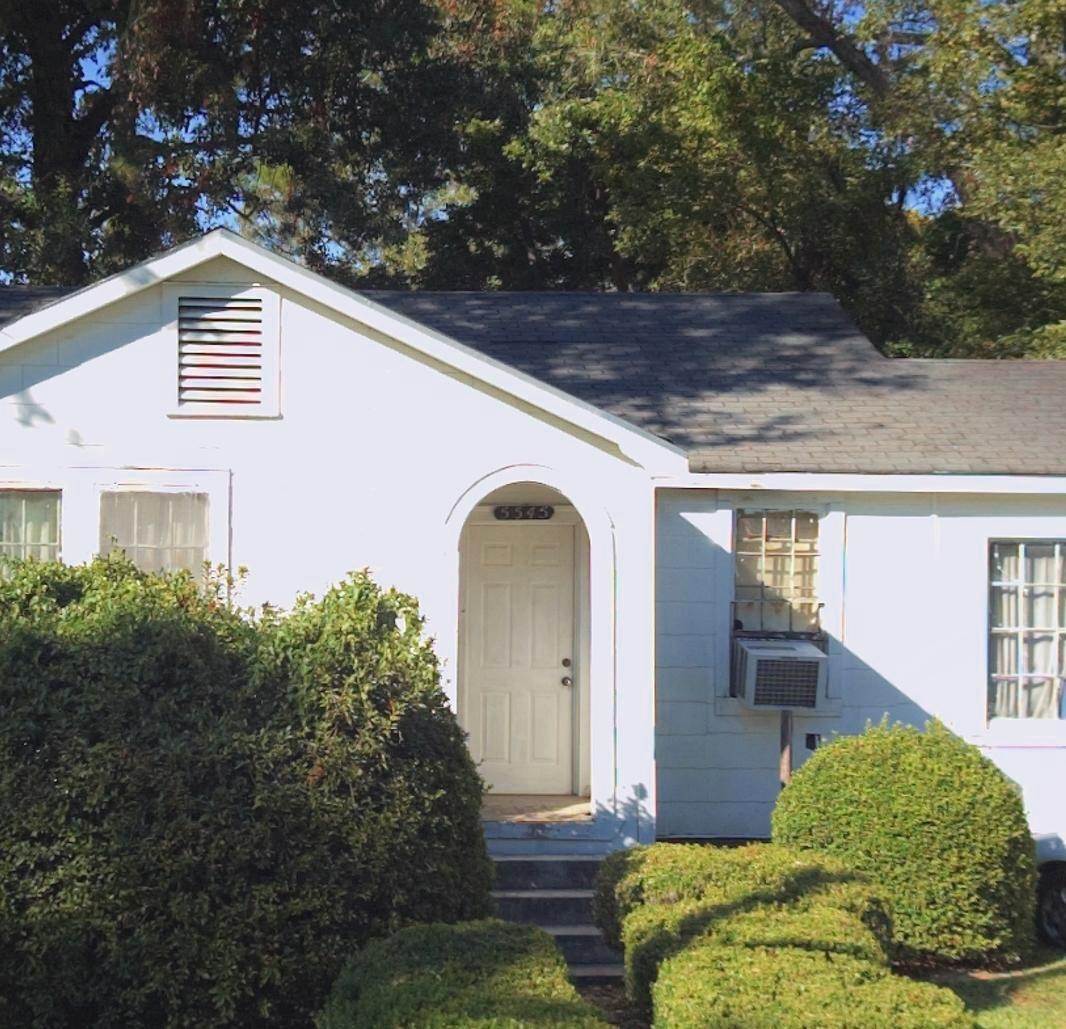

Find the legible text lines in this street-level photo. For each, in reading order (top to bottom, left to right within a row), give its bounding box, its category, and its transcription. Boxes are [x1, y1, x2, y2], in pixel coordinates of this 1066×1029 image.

[500, 506, 549, 519] StreetNumber: 5545